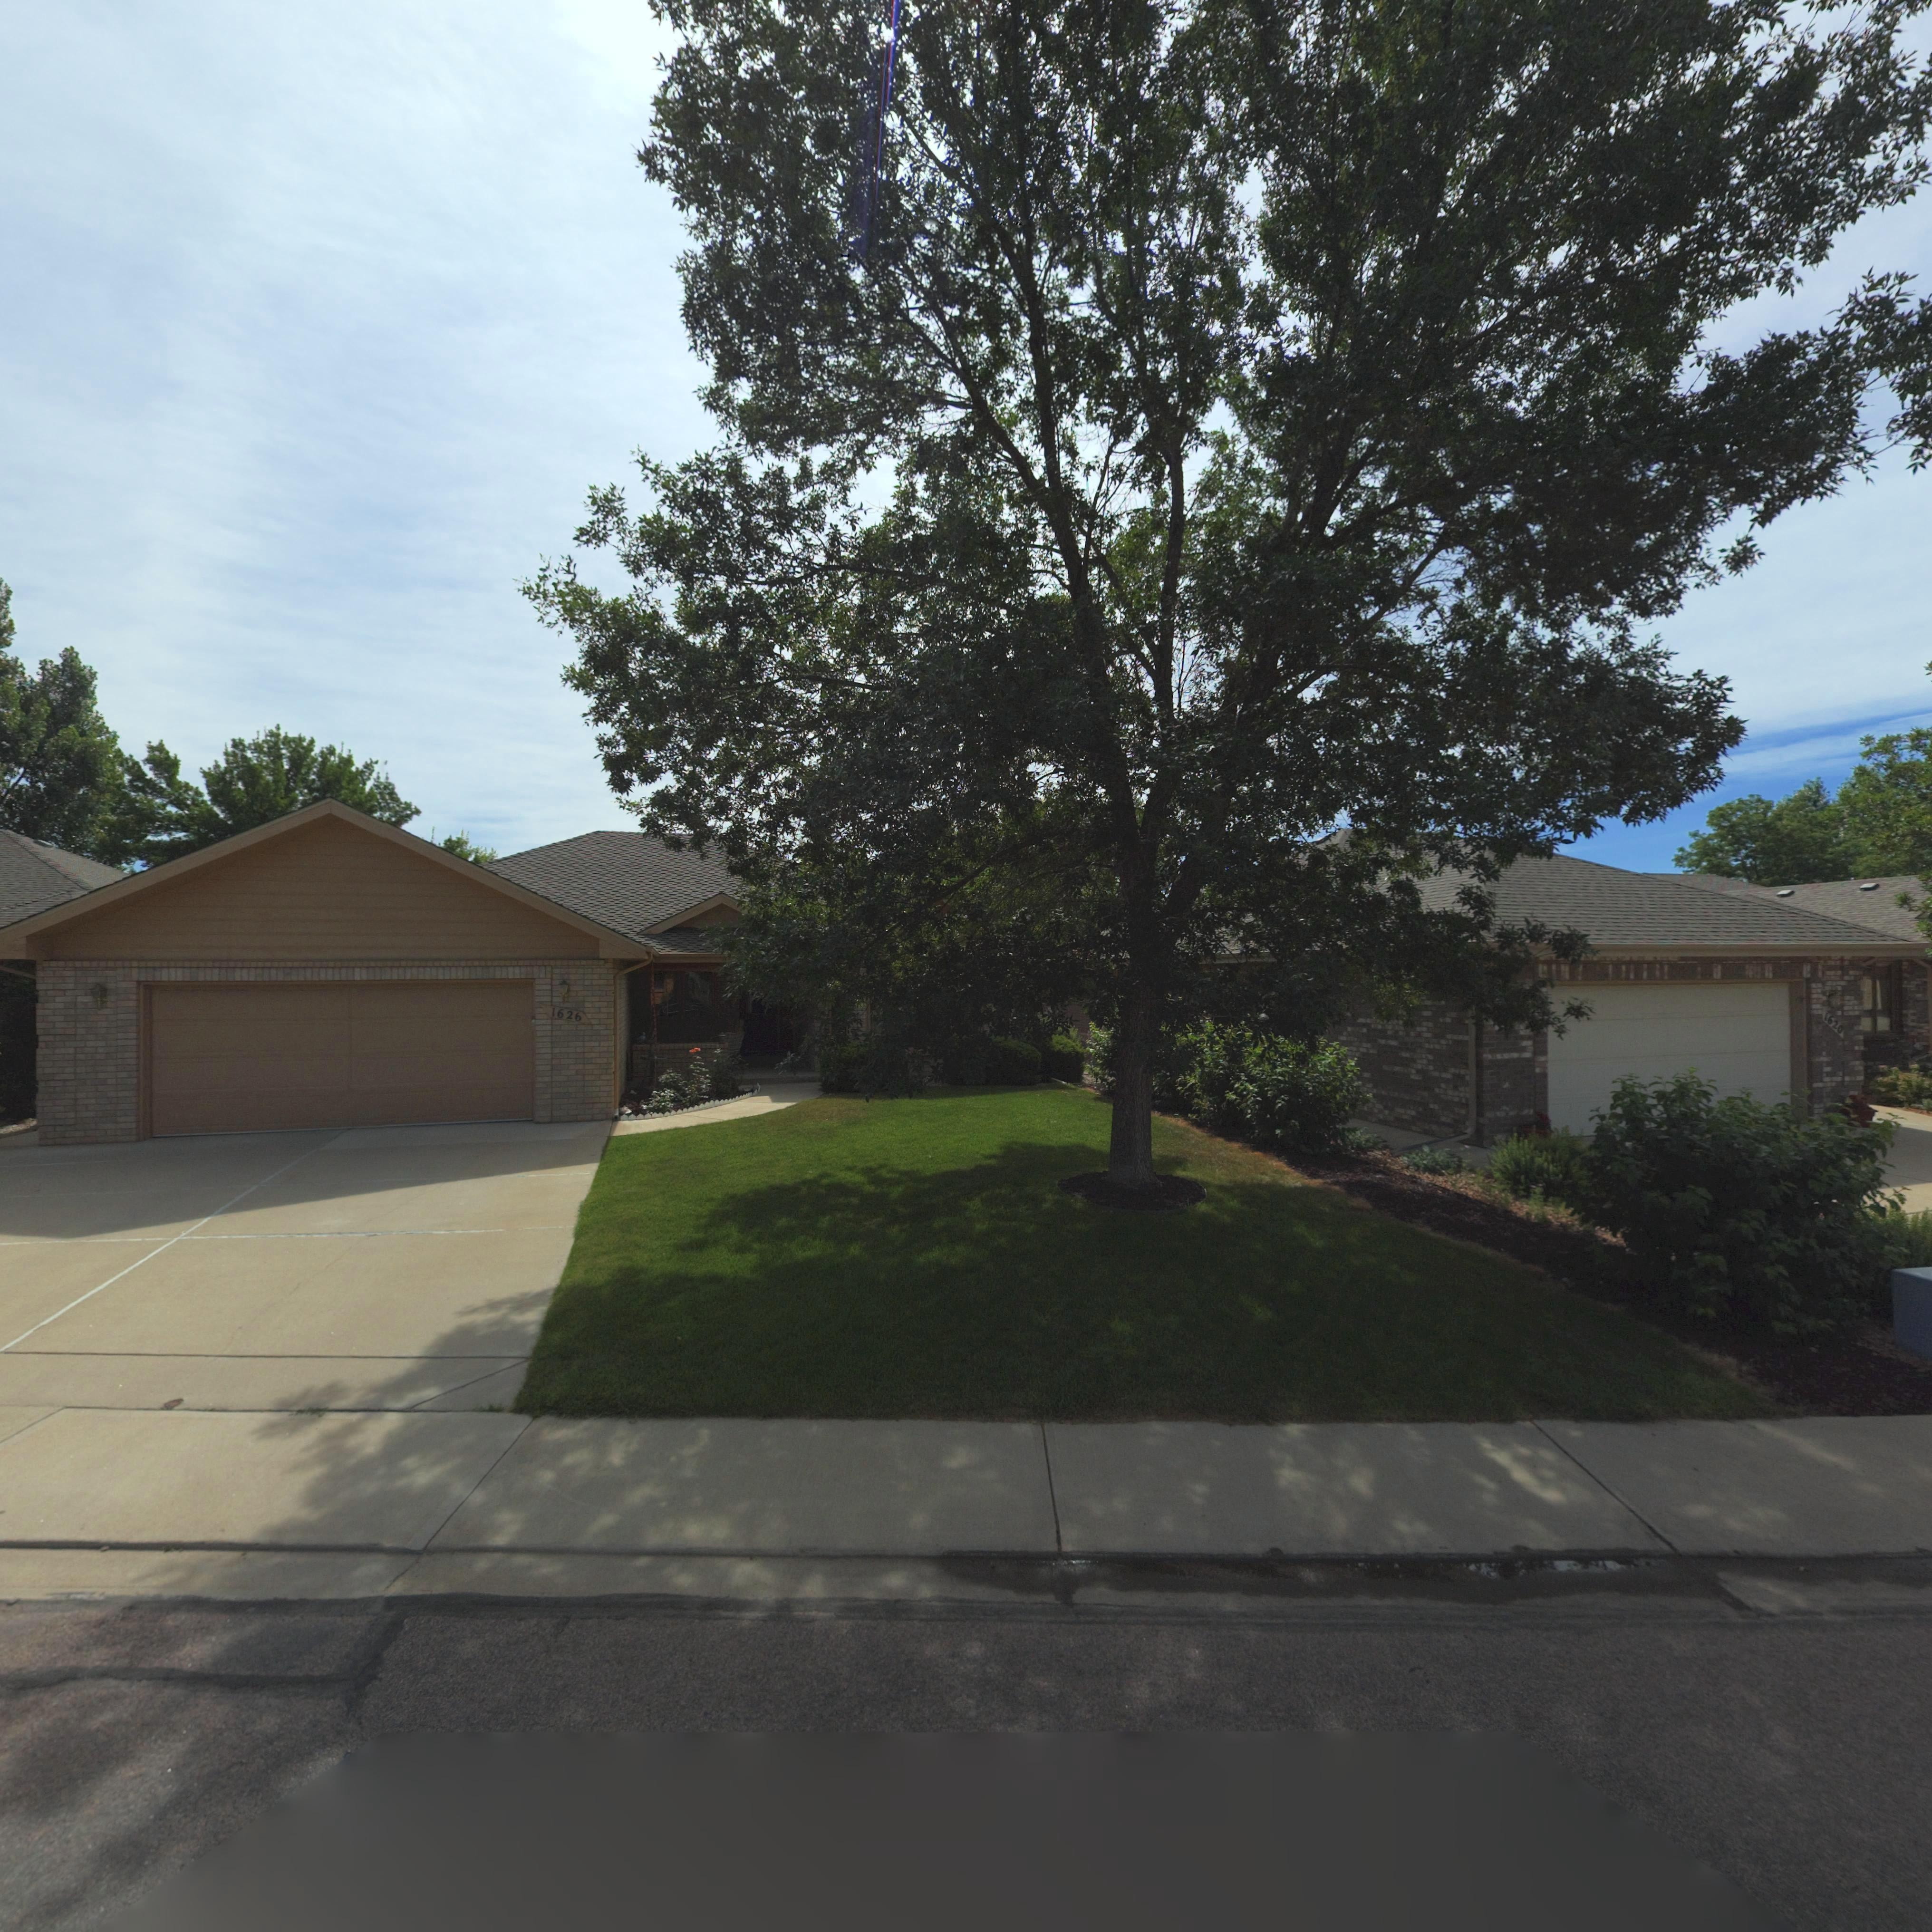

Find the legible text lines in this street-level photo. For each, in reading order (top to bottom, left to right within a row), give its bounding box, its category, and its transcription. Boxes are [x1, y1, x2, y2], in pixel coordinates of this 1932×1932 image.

[551, 1007, 581, 1022] StreetNumber: 1626
[1823, 1012, 1844, 1034] StreetNumber: 1620